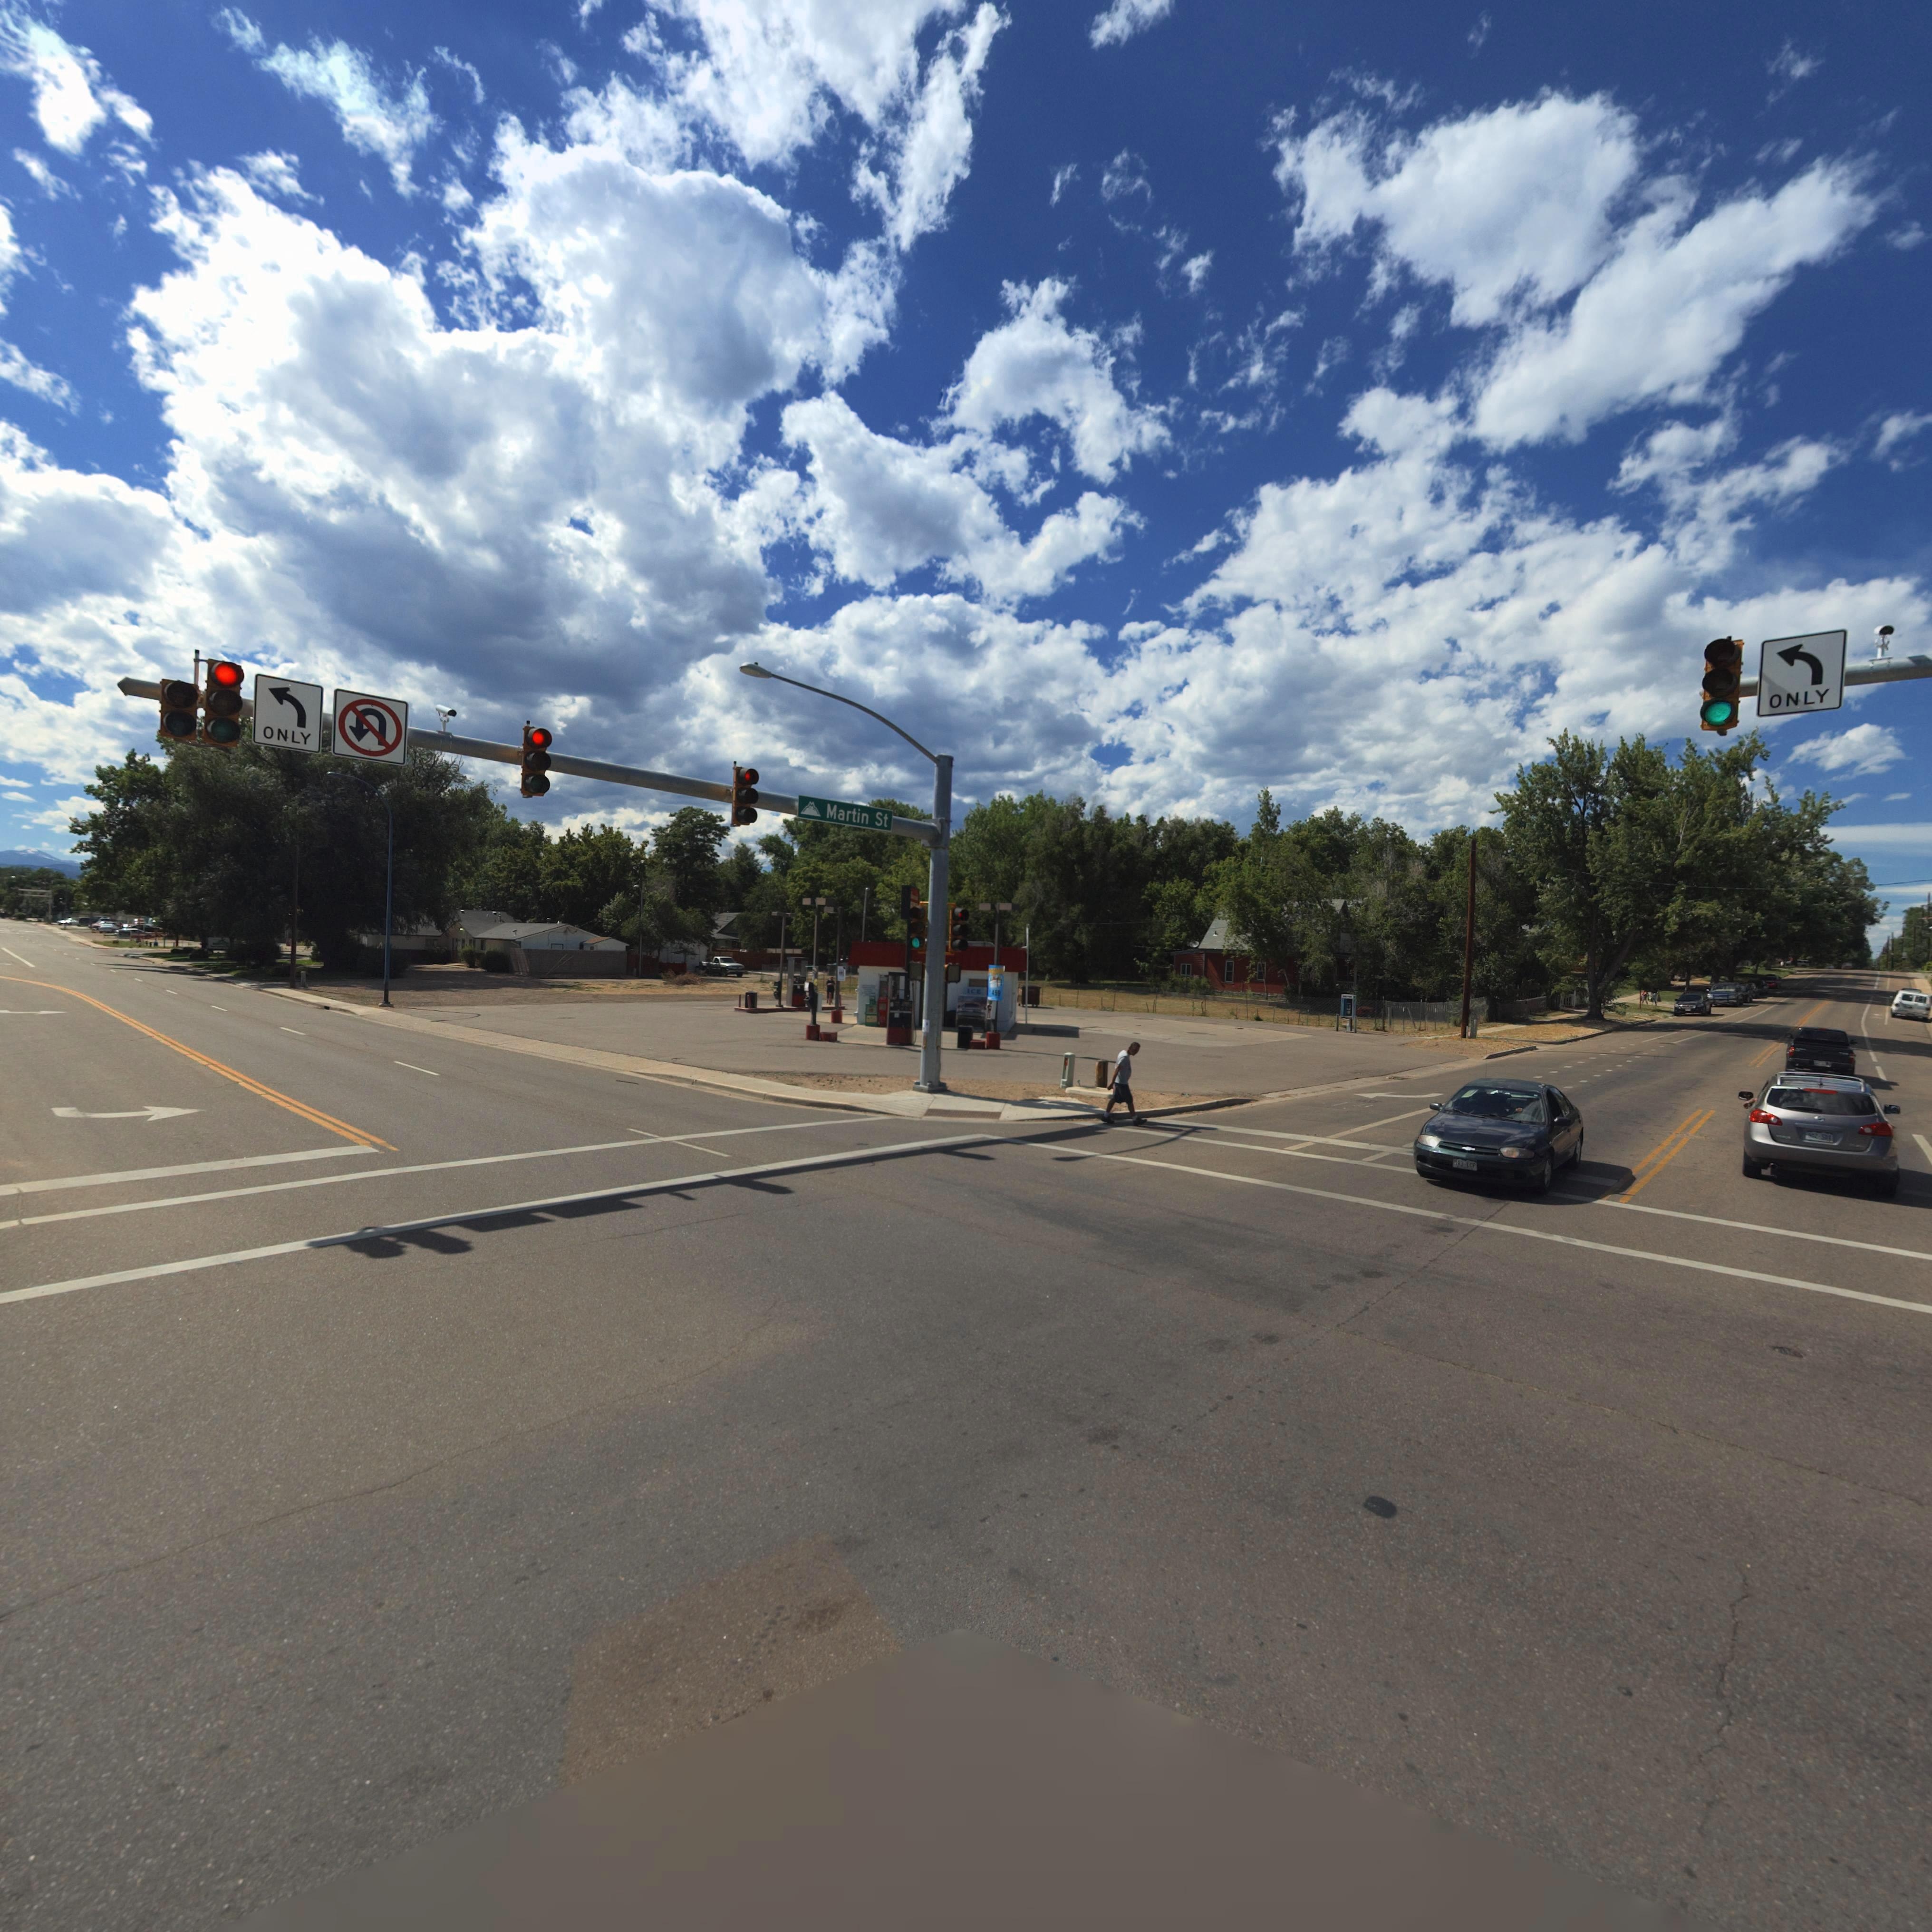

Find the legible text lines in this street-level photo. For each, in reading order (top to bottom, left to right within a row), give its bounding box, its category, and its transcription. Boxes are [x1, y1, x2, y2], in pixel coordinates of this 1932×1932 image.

[826, 803, 889, 828] StreetName: Martin St